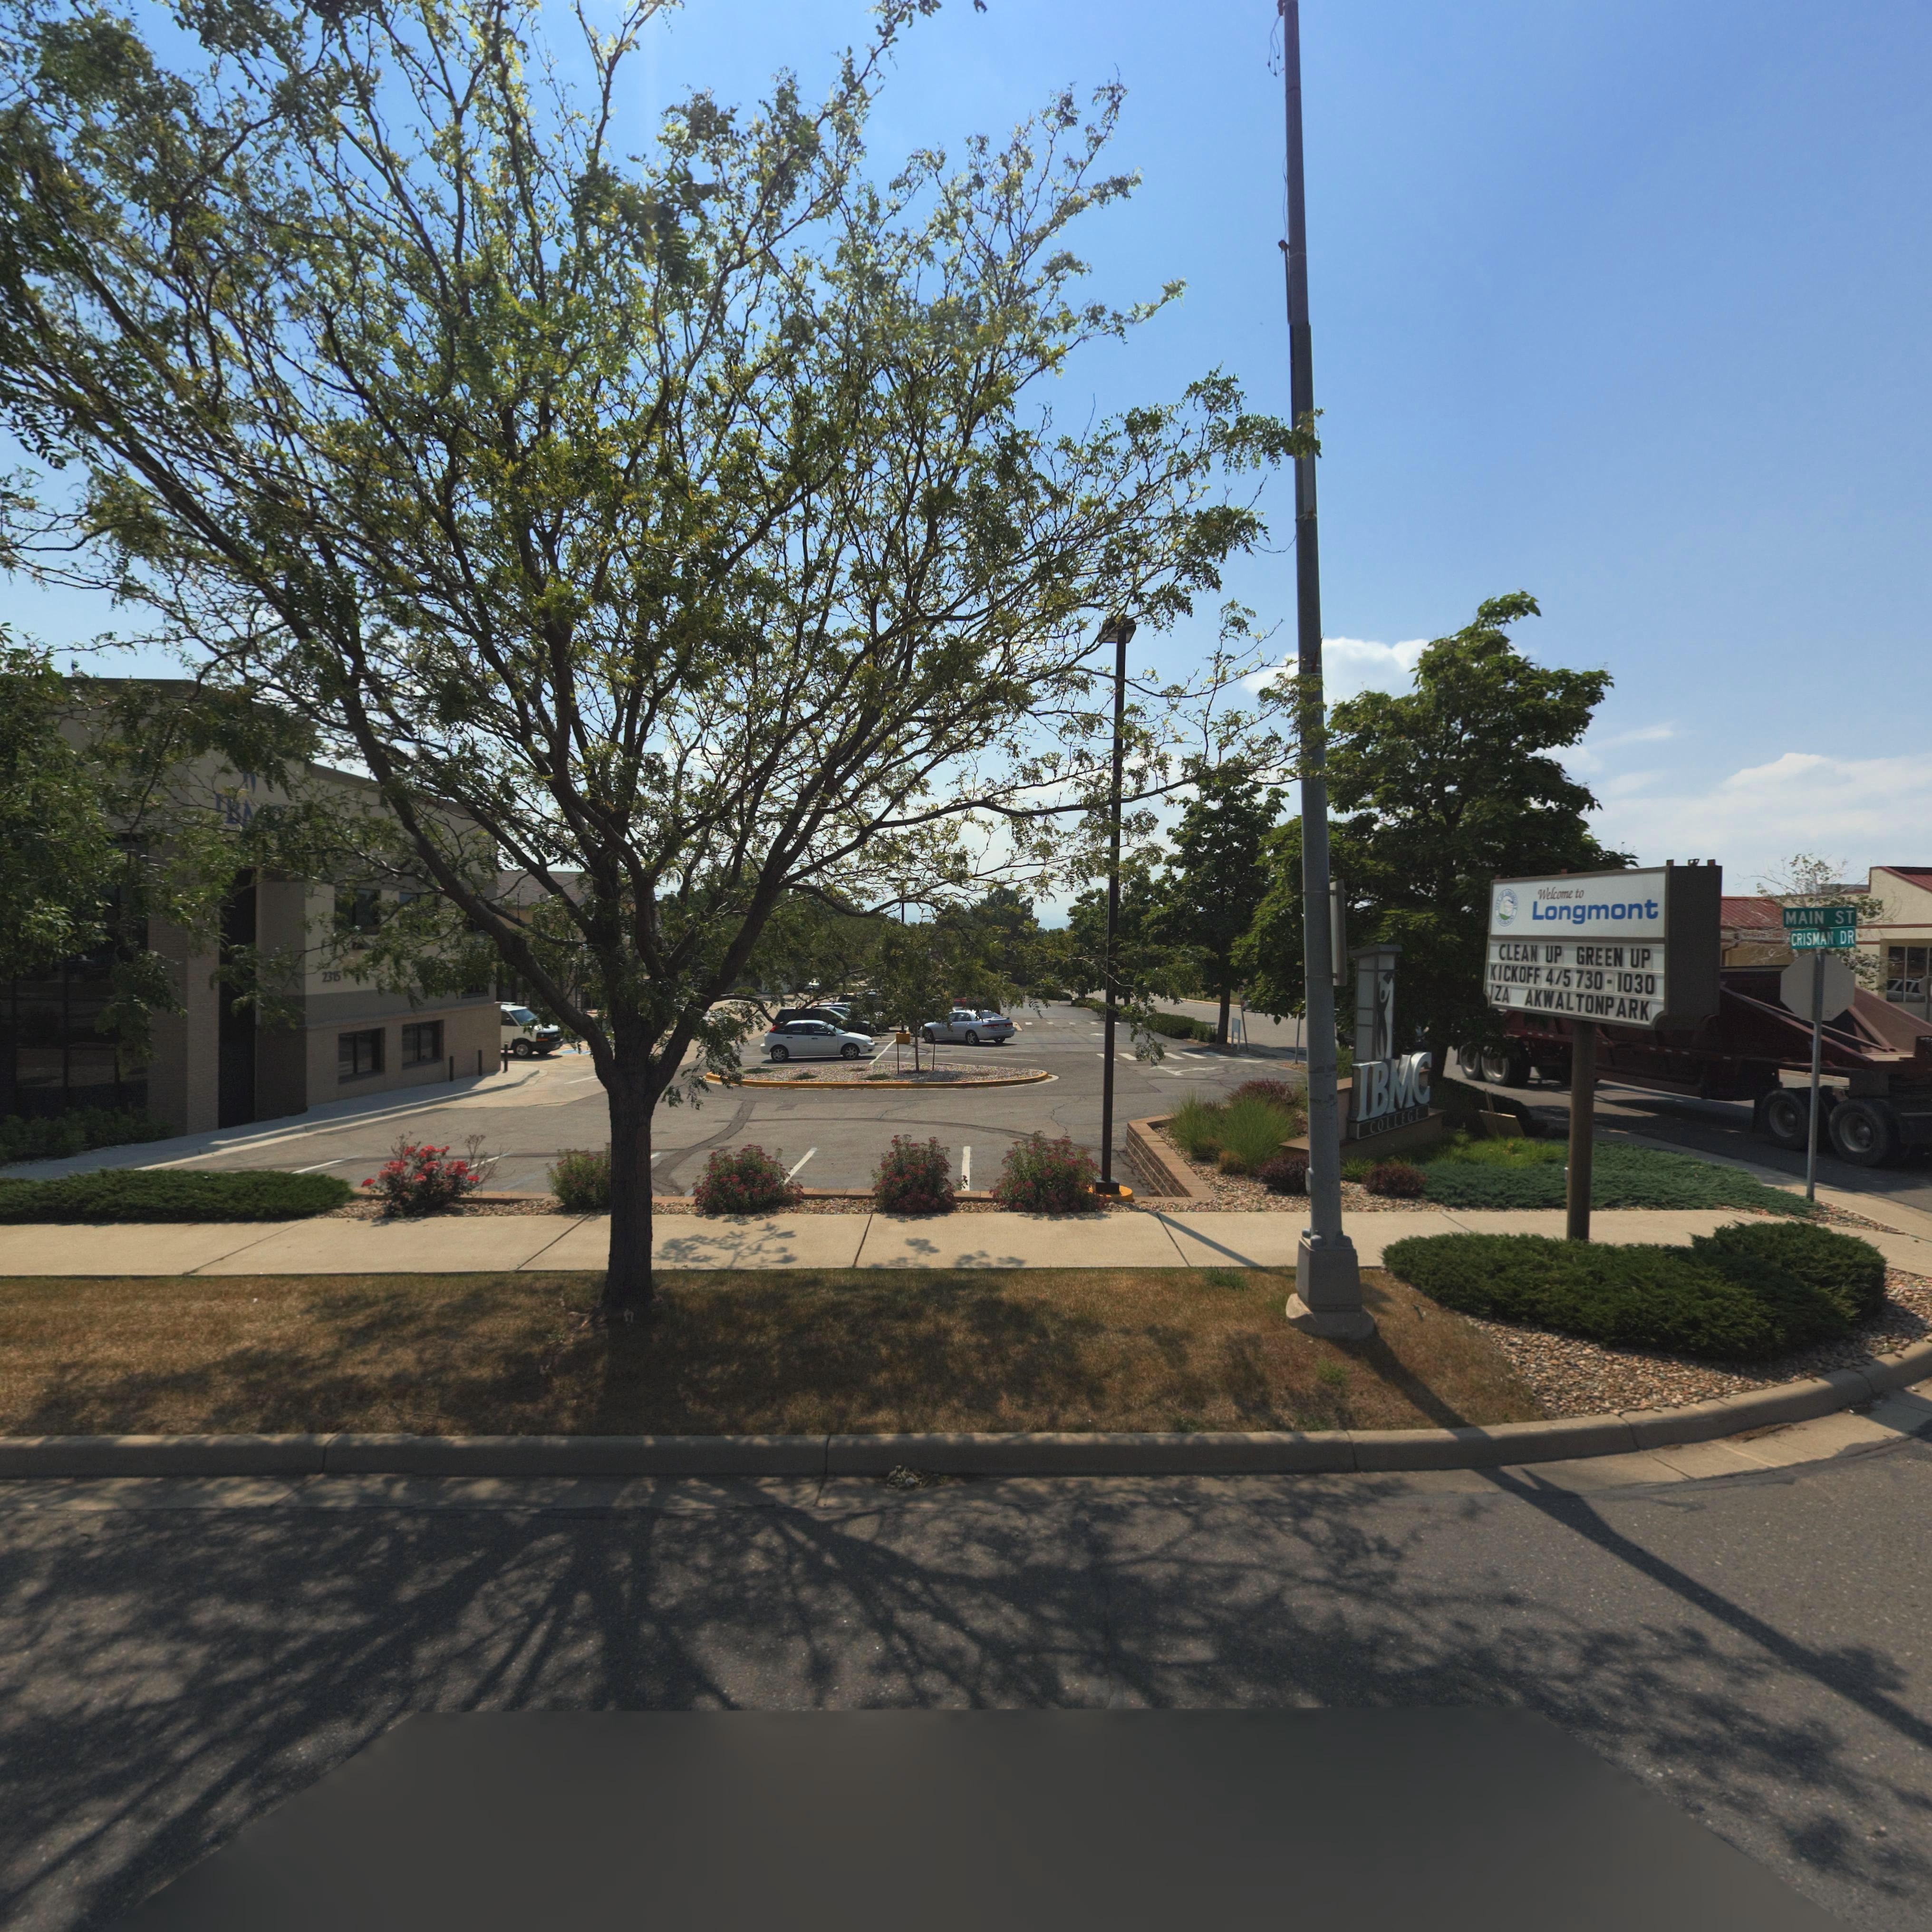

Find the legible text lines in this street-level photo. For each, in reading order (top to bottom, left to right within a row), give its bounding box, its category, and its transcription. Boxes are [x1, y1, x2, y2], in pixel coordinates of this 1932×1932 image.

[1785, 909, 1855, 925] StreetName: MAIN ST
[1791, 929, 1855, 946] BusinessName: CRISMAN DR
[321, 970, 341, 982] StreetNumber: 2315